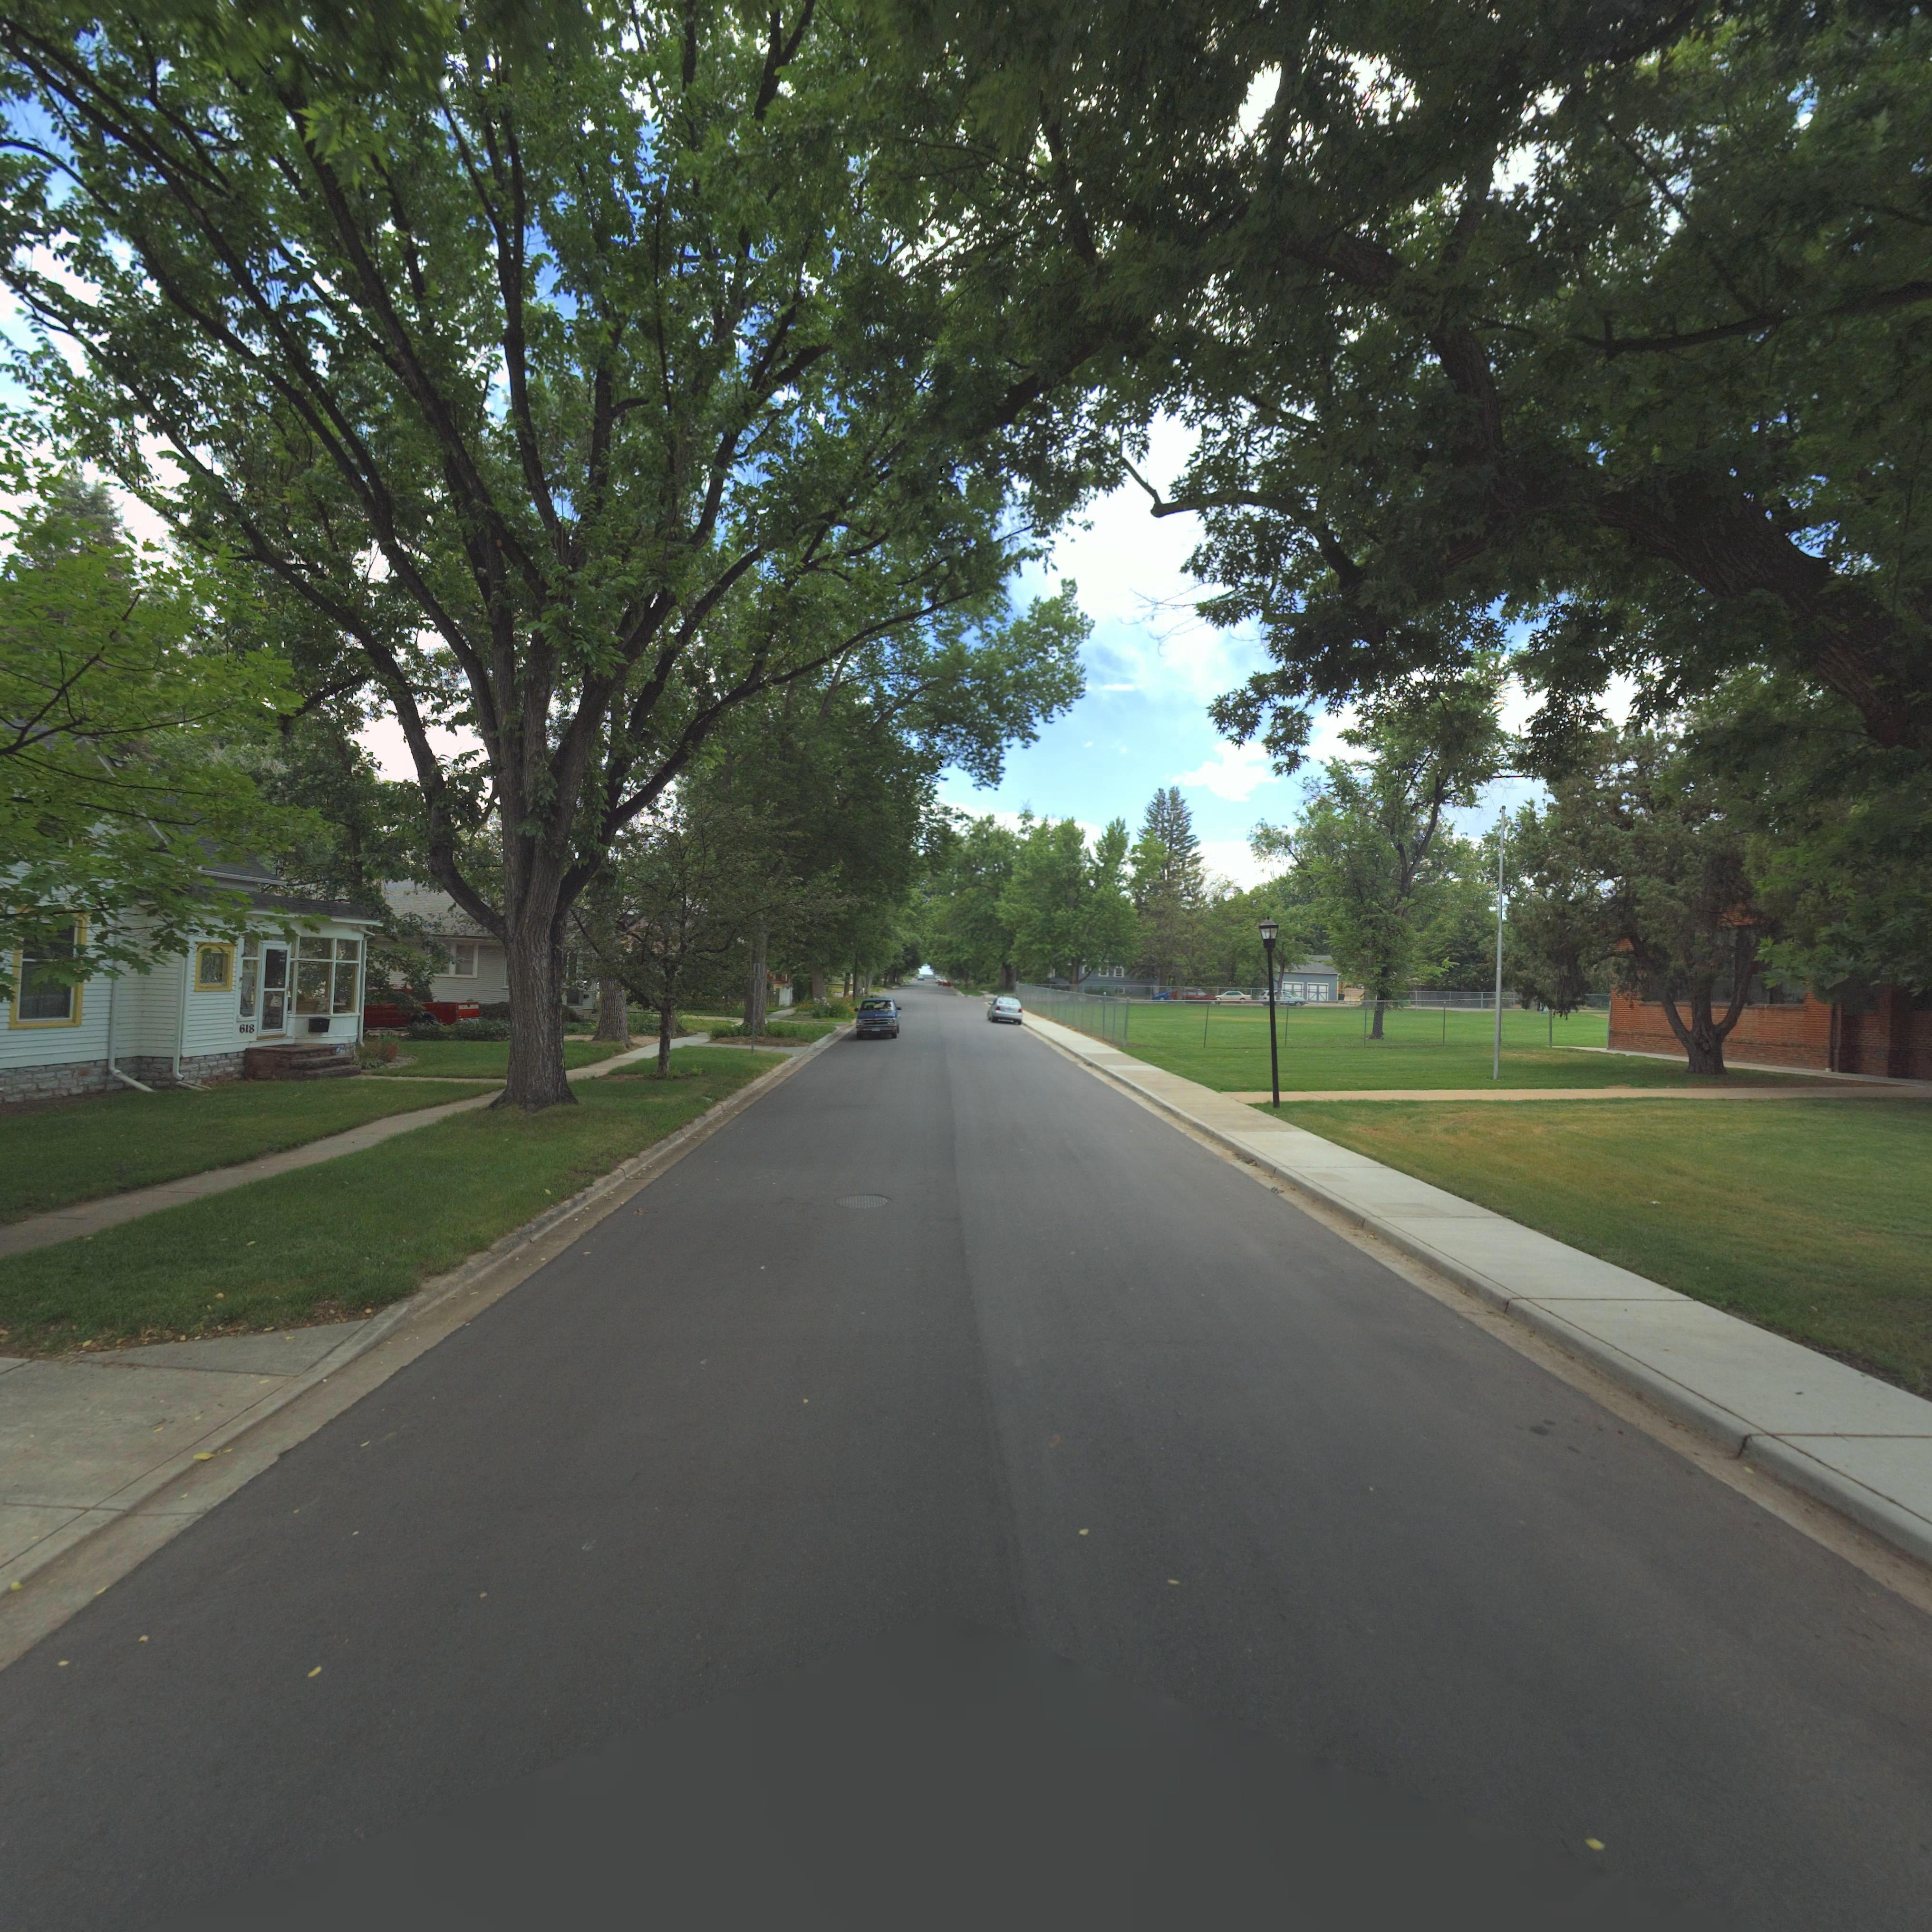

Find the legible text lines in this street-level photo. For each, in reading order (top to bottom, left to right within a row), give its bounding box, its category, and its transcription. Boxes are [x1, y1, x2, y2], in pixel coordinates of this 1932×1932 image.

[239, 1024, 254, 1033] StreetNumber: 618